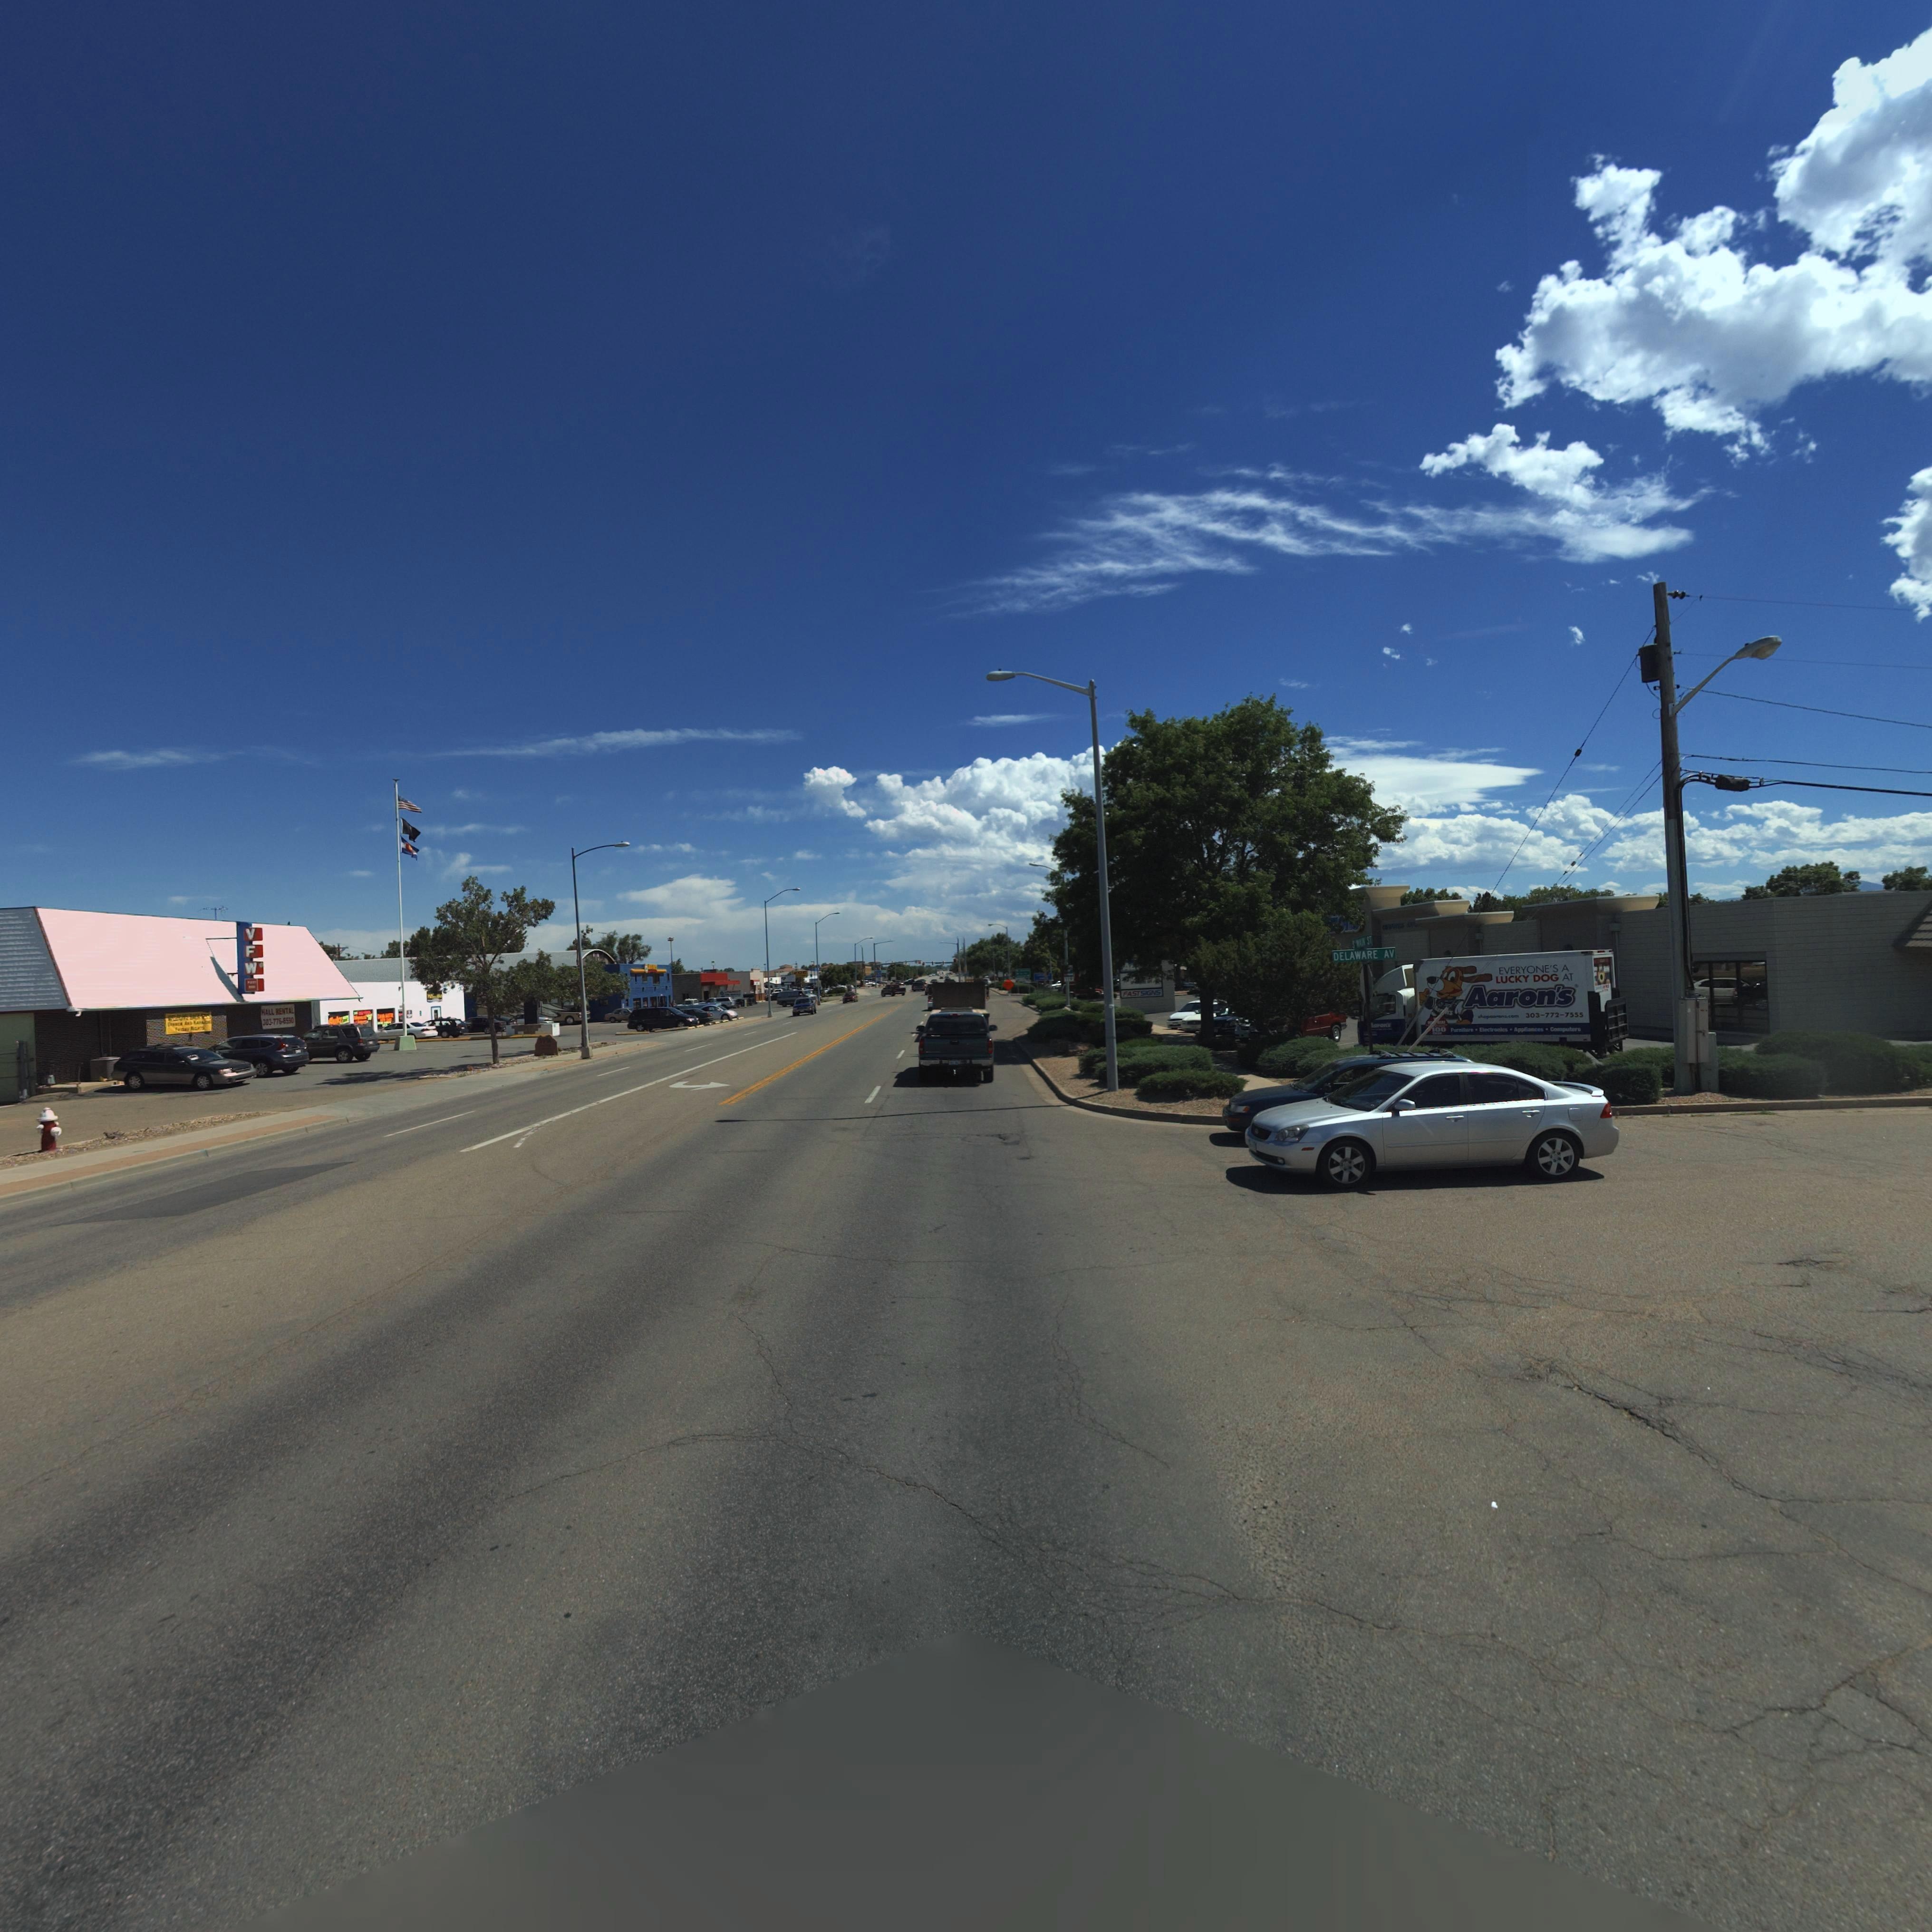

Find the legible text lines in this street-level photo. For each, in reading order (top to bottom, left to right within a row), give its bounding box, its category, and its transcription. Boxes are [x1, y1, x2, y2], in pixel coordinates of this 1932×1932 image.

[1351, 934, 1373, 950] StreetName: S MAIN ST
[245, 927, 257, 975] BusinessName: VFW
[1332, 948, 1395, 962] StreetName: DELAWARE AV
[792, 970, 806, 975] BusinessName: ZOE
[1121, 988, 1161, 997] BusinessName: FAST SIGNS